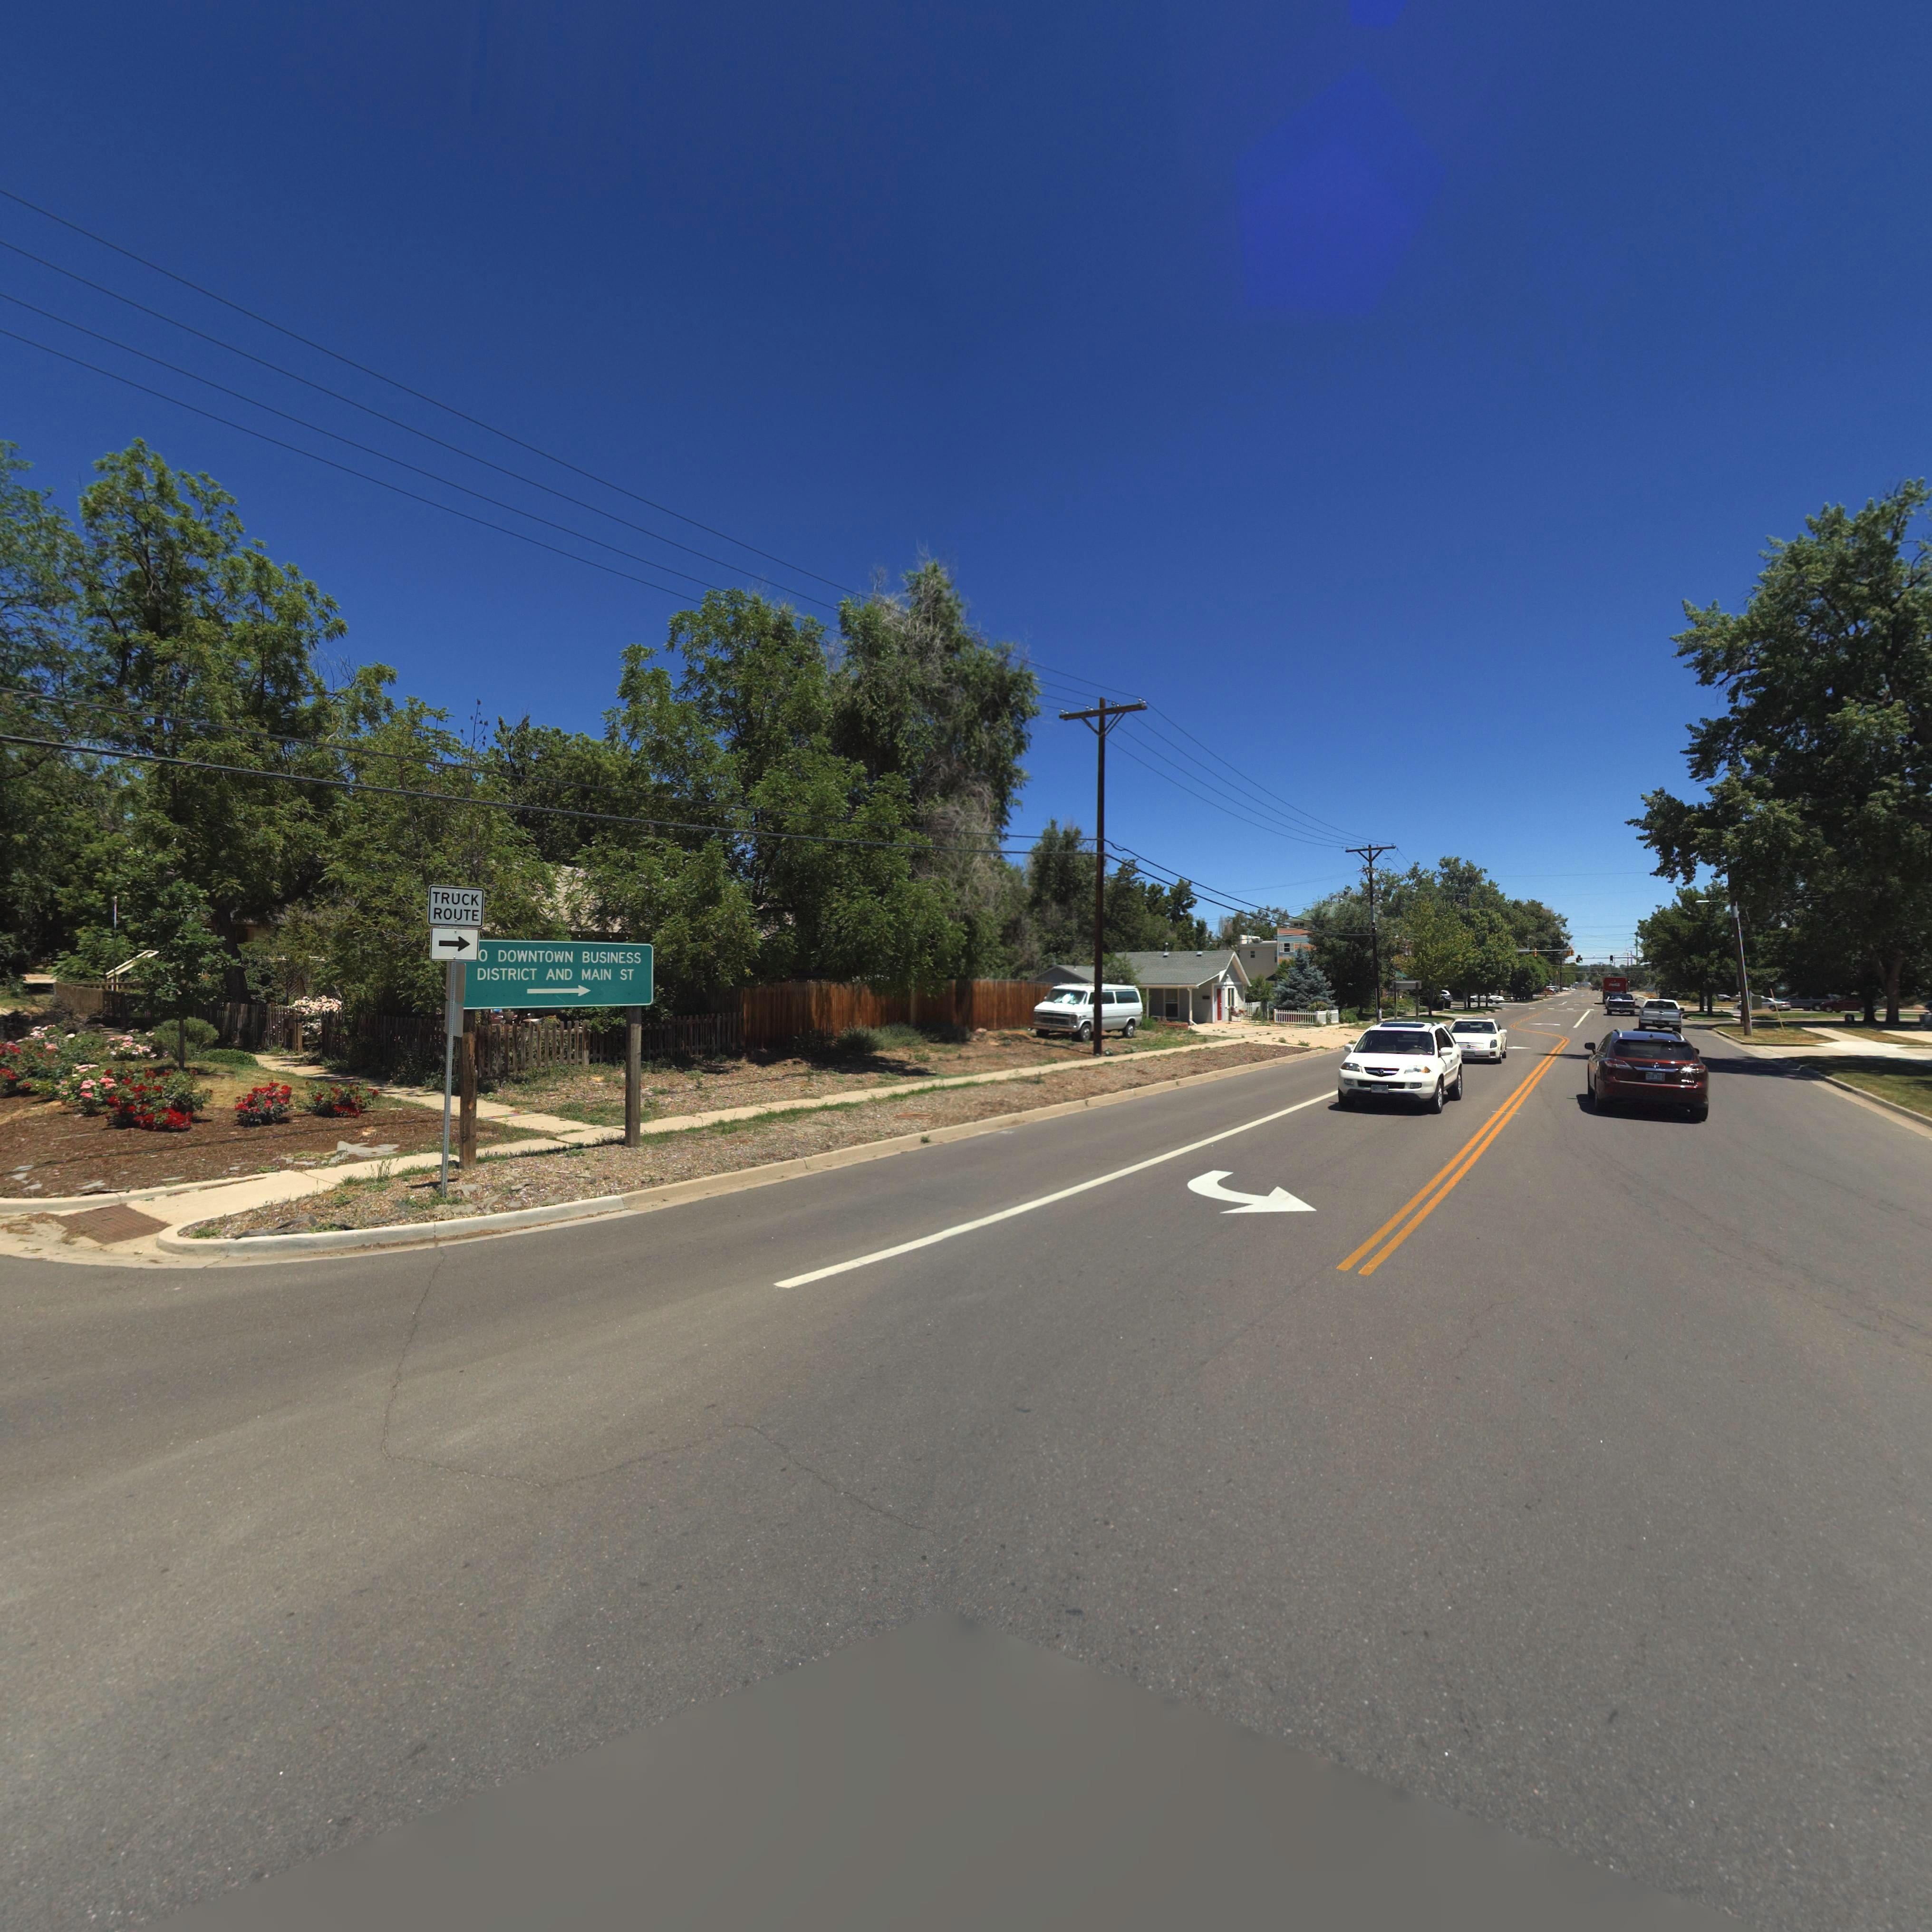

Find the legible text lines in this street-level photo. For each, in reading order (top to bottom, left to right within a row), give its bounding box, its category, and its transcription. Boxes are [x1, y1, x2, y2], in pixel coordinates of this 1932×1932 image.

[581, 968, 635, 981] StreetName: MAIN ST